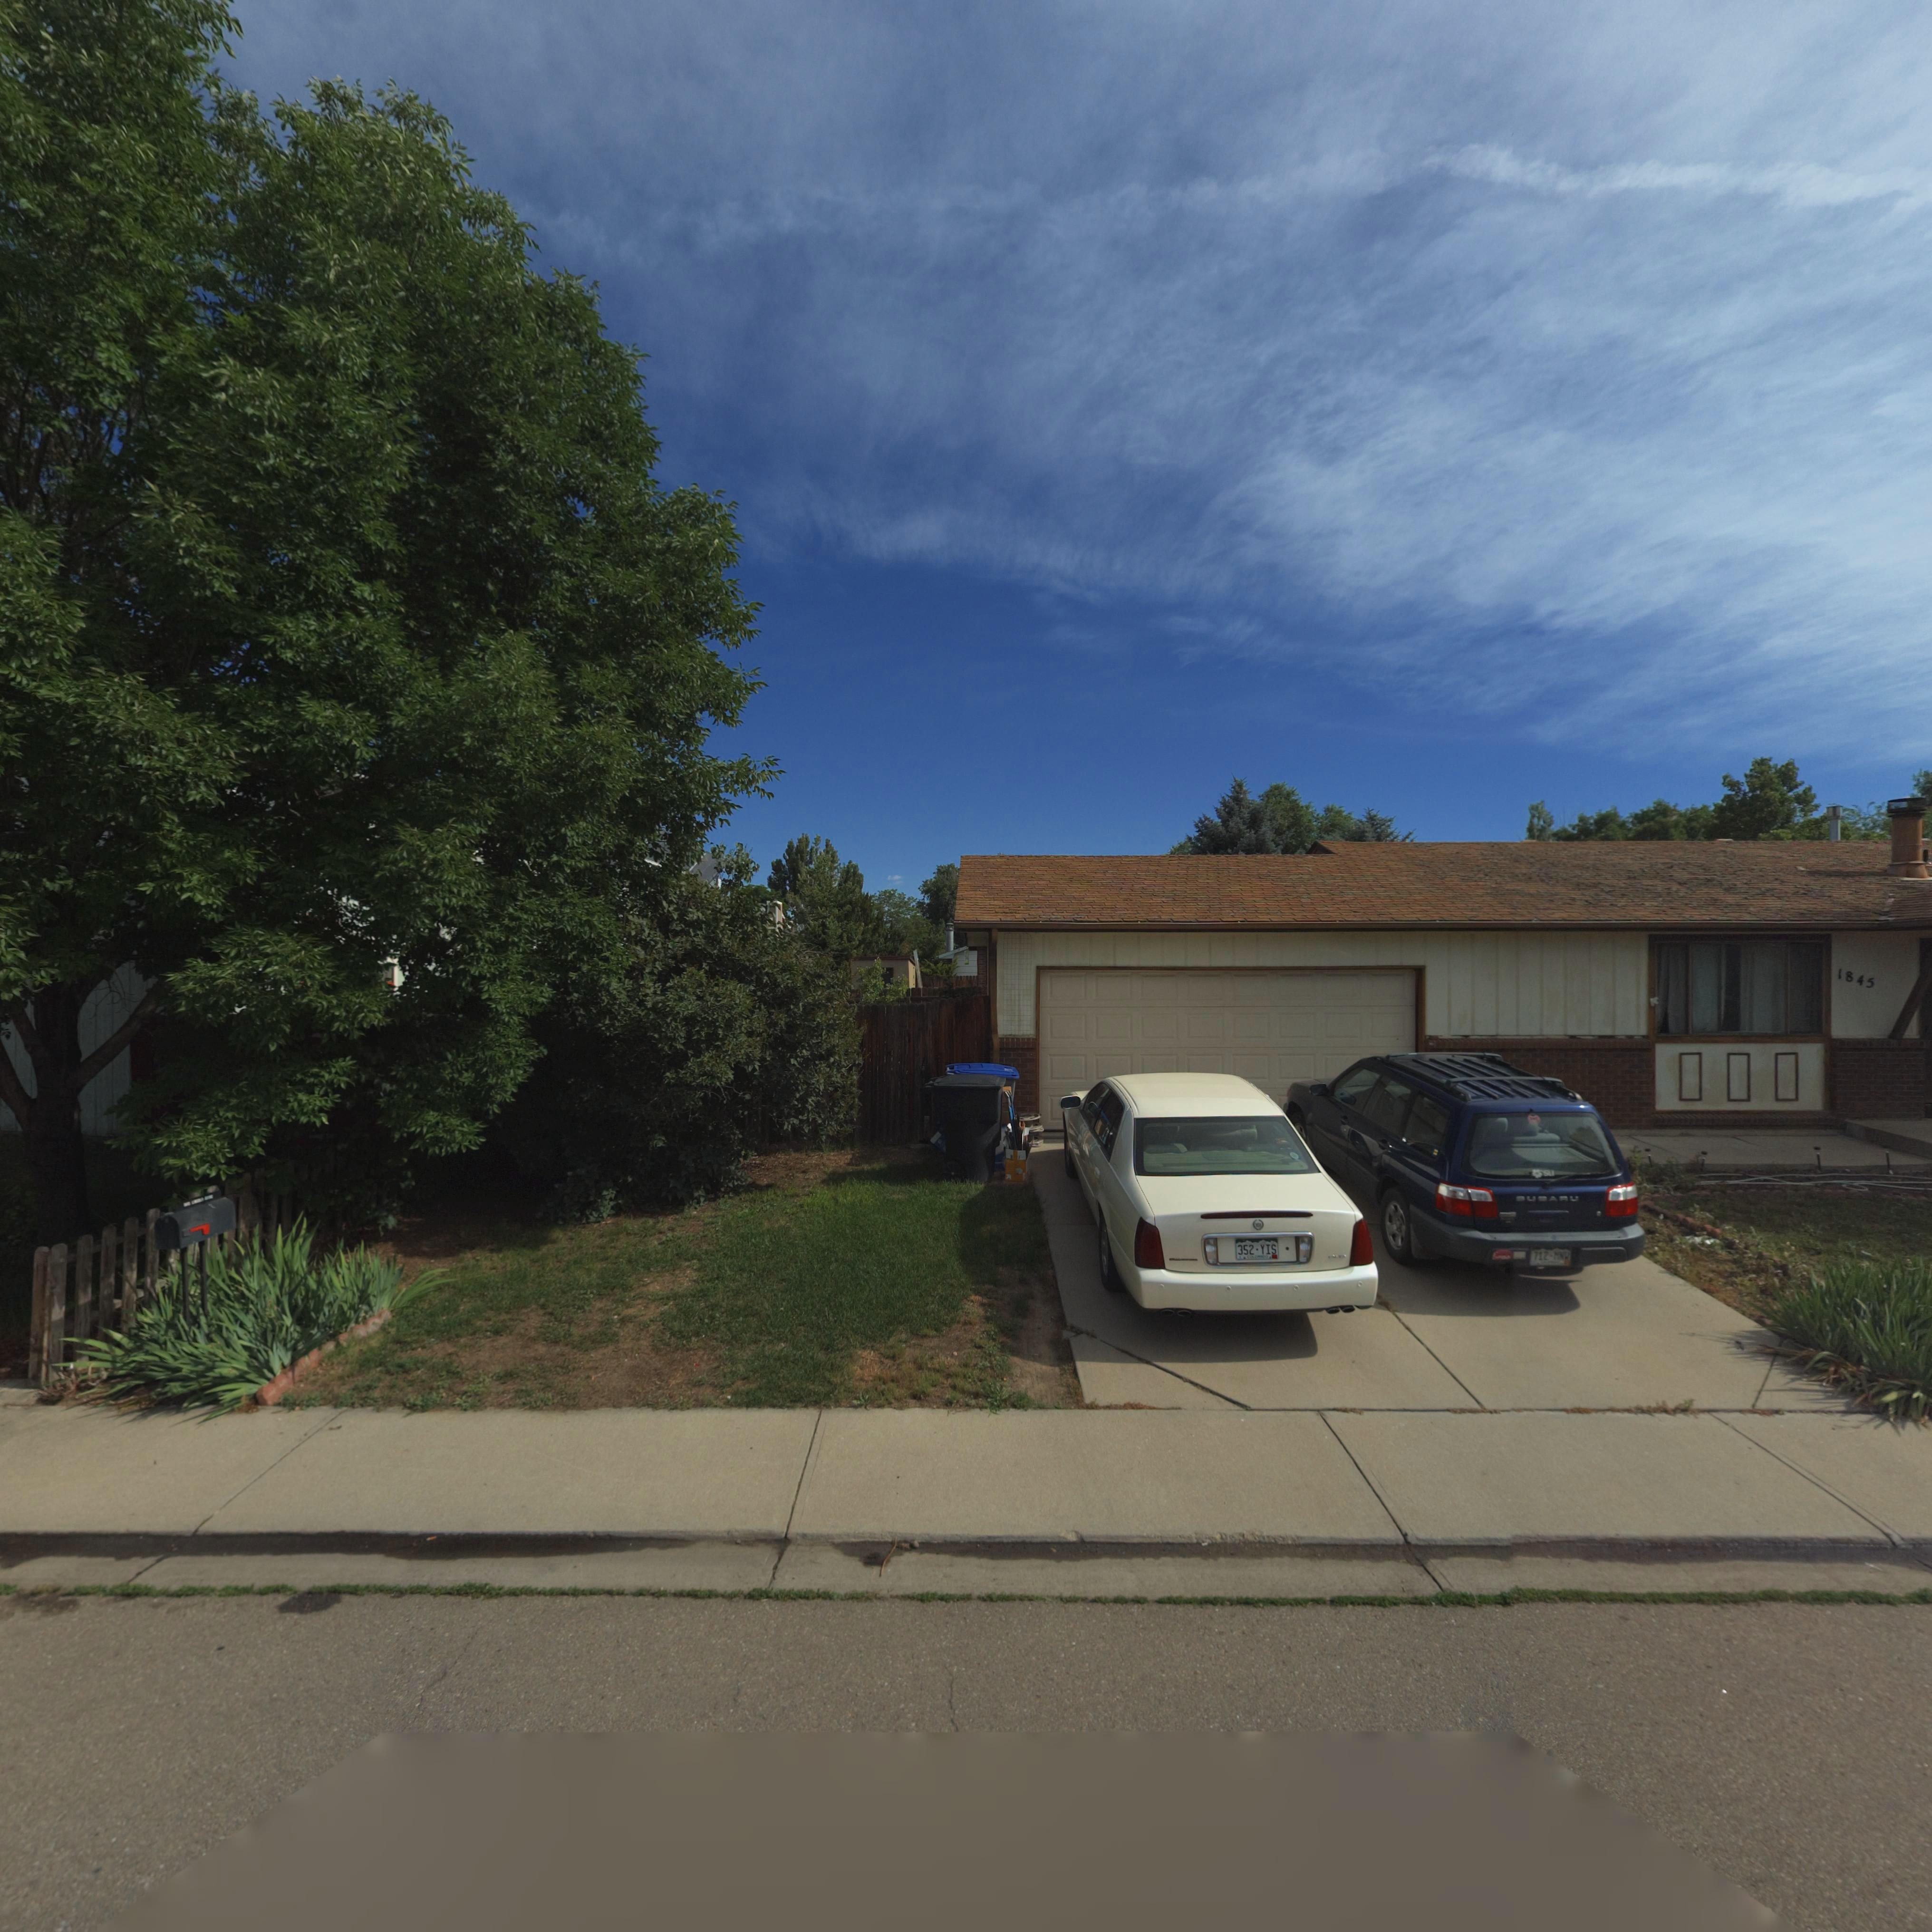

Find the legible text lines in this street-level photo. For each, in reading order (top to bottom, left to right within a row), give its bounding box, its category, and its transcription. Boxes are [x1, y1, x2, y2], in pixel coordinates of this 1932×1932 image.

[1837, 966, 1875, 989] StreetNumber: 1845